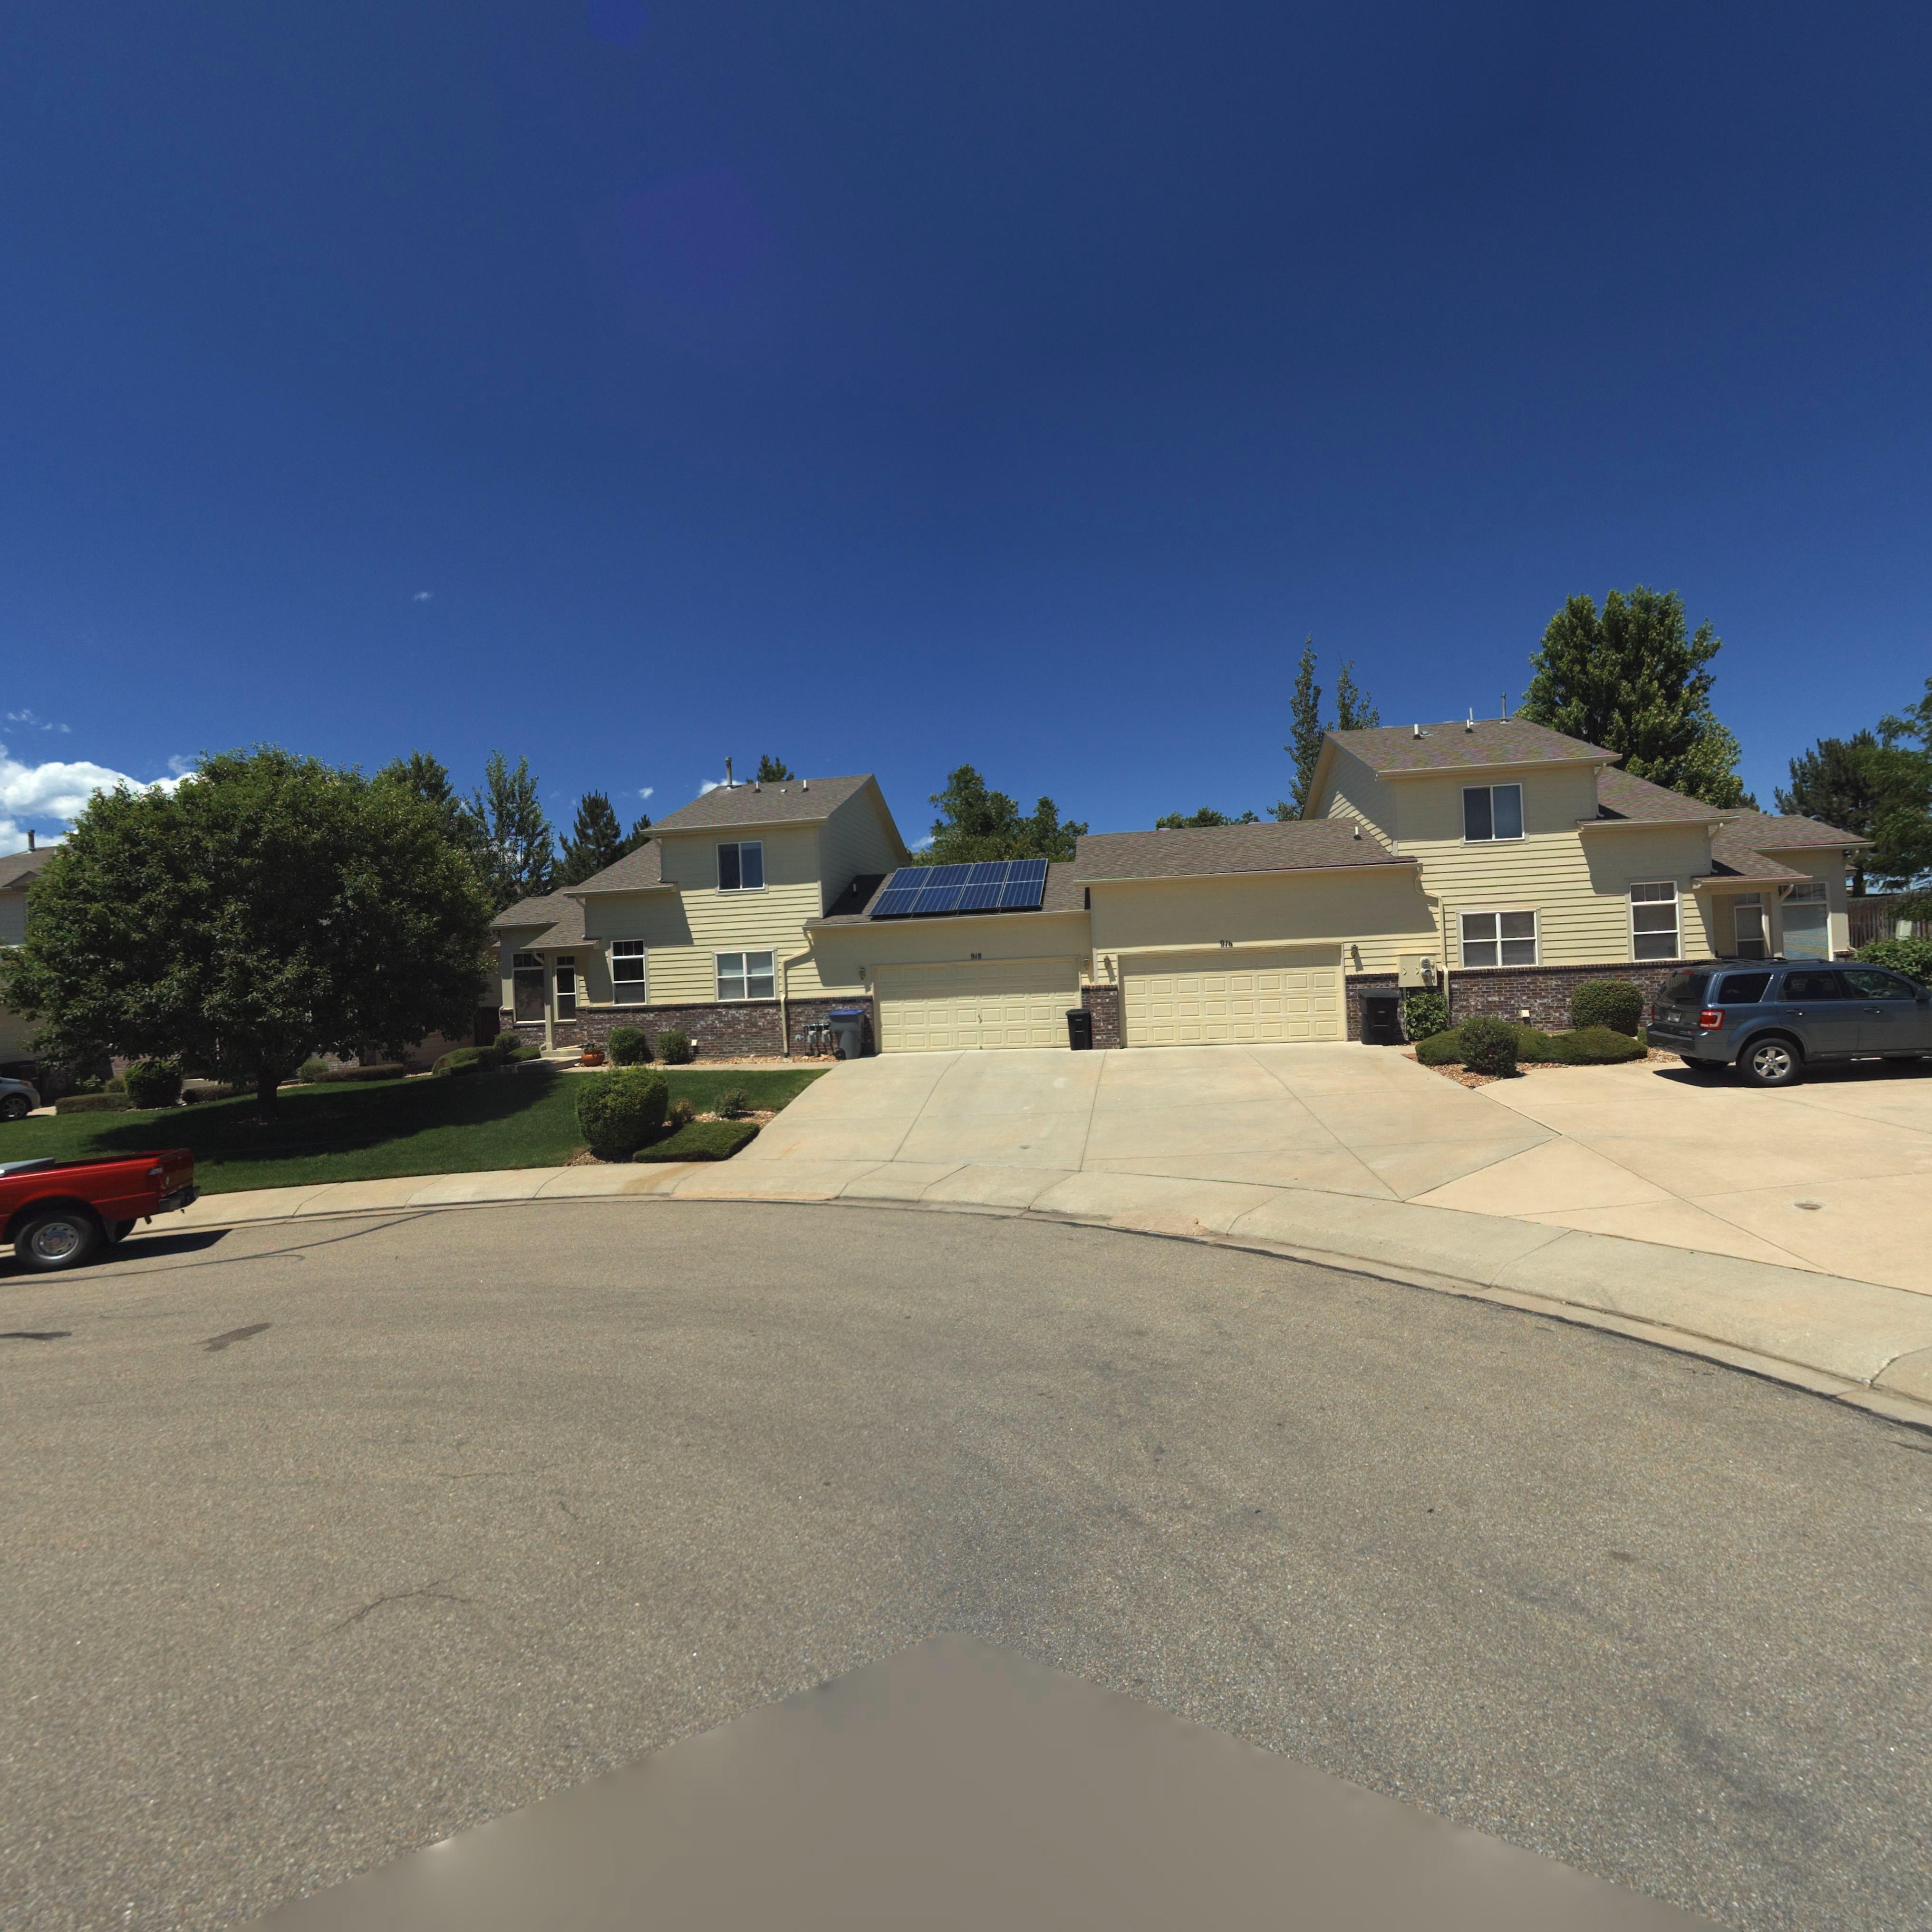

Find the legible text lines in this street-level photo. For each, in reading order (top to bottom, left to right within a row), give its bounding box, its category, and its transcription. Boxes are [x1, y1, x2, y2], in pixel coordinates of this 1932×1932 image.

[1219, 939, 1233, 947] StreetNumber: 91*
[970, 952, 982, 959] StreetNumber: 918